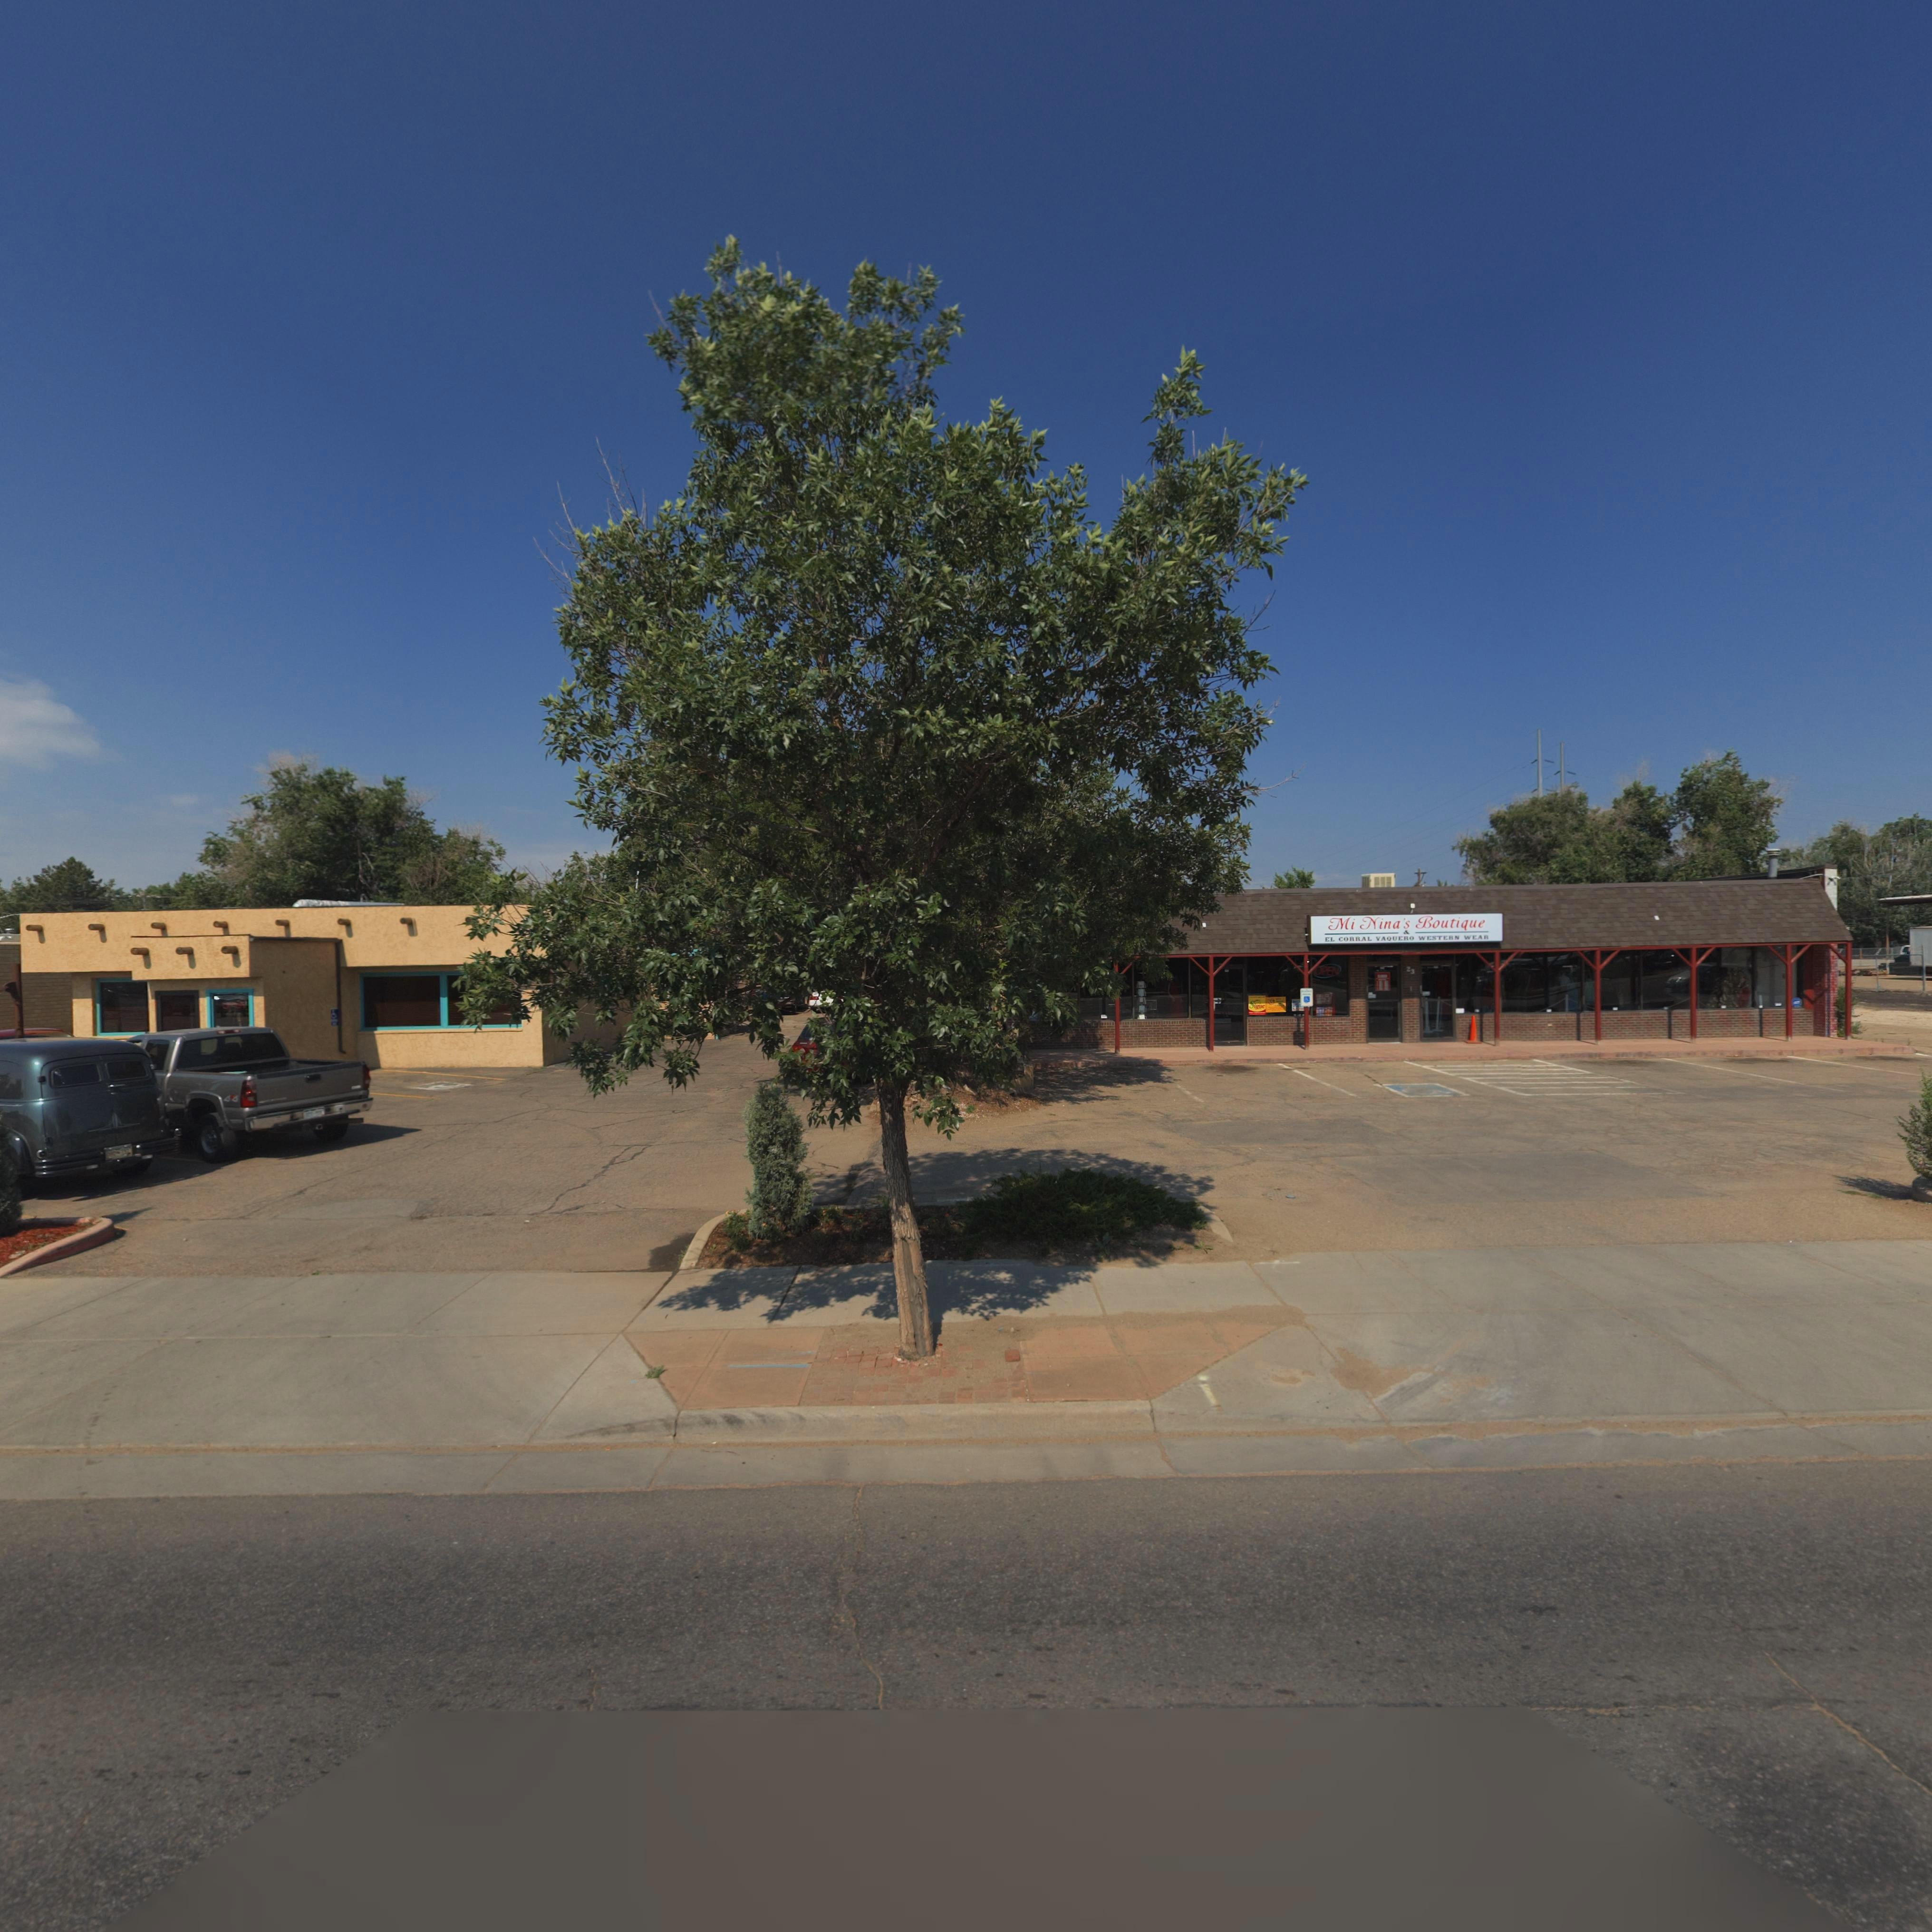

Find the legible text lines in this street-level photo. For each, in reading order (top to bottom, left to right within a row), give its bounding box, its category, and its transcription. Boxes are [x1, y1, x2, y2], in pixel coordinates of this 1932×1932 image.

[1328, 915, 1485, 931] BusinessName: Mi Nina's Boutique
[1406, 966, 1415, 974] StreetNumber: 23